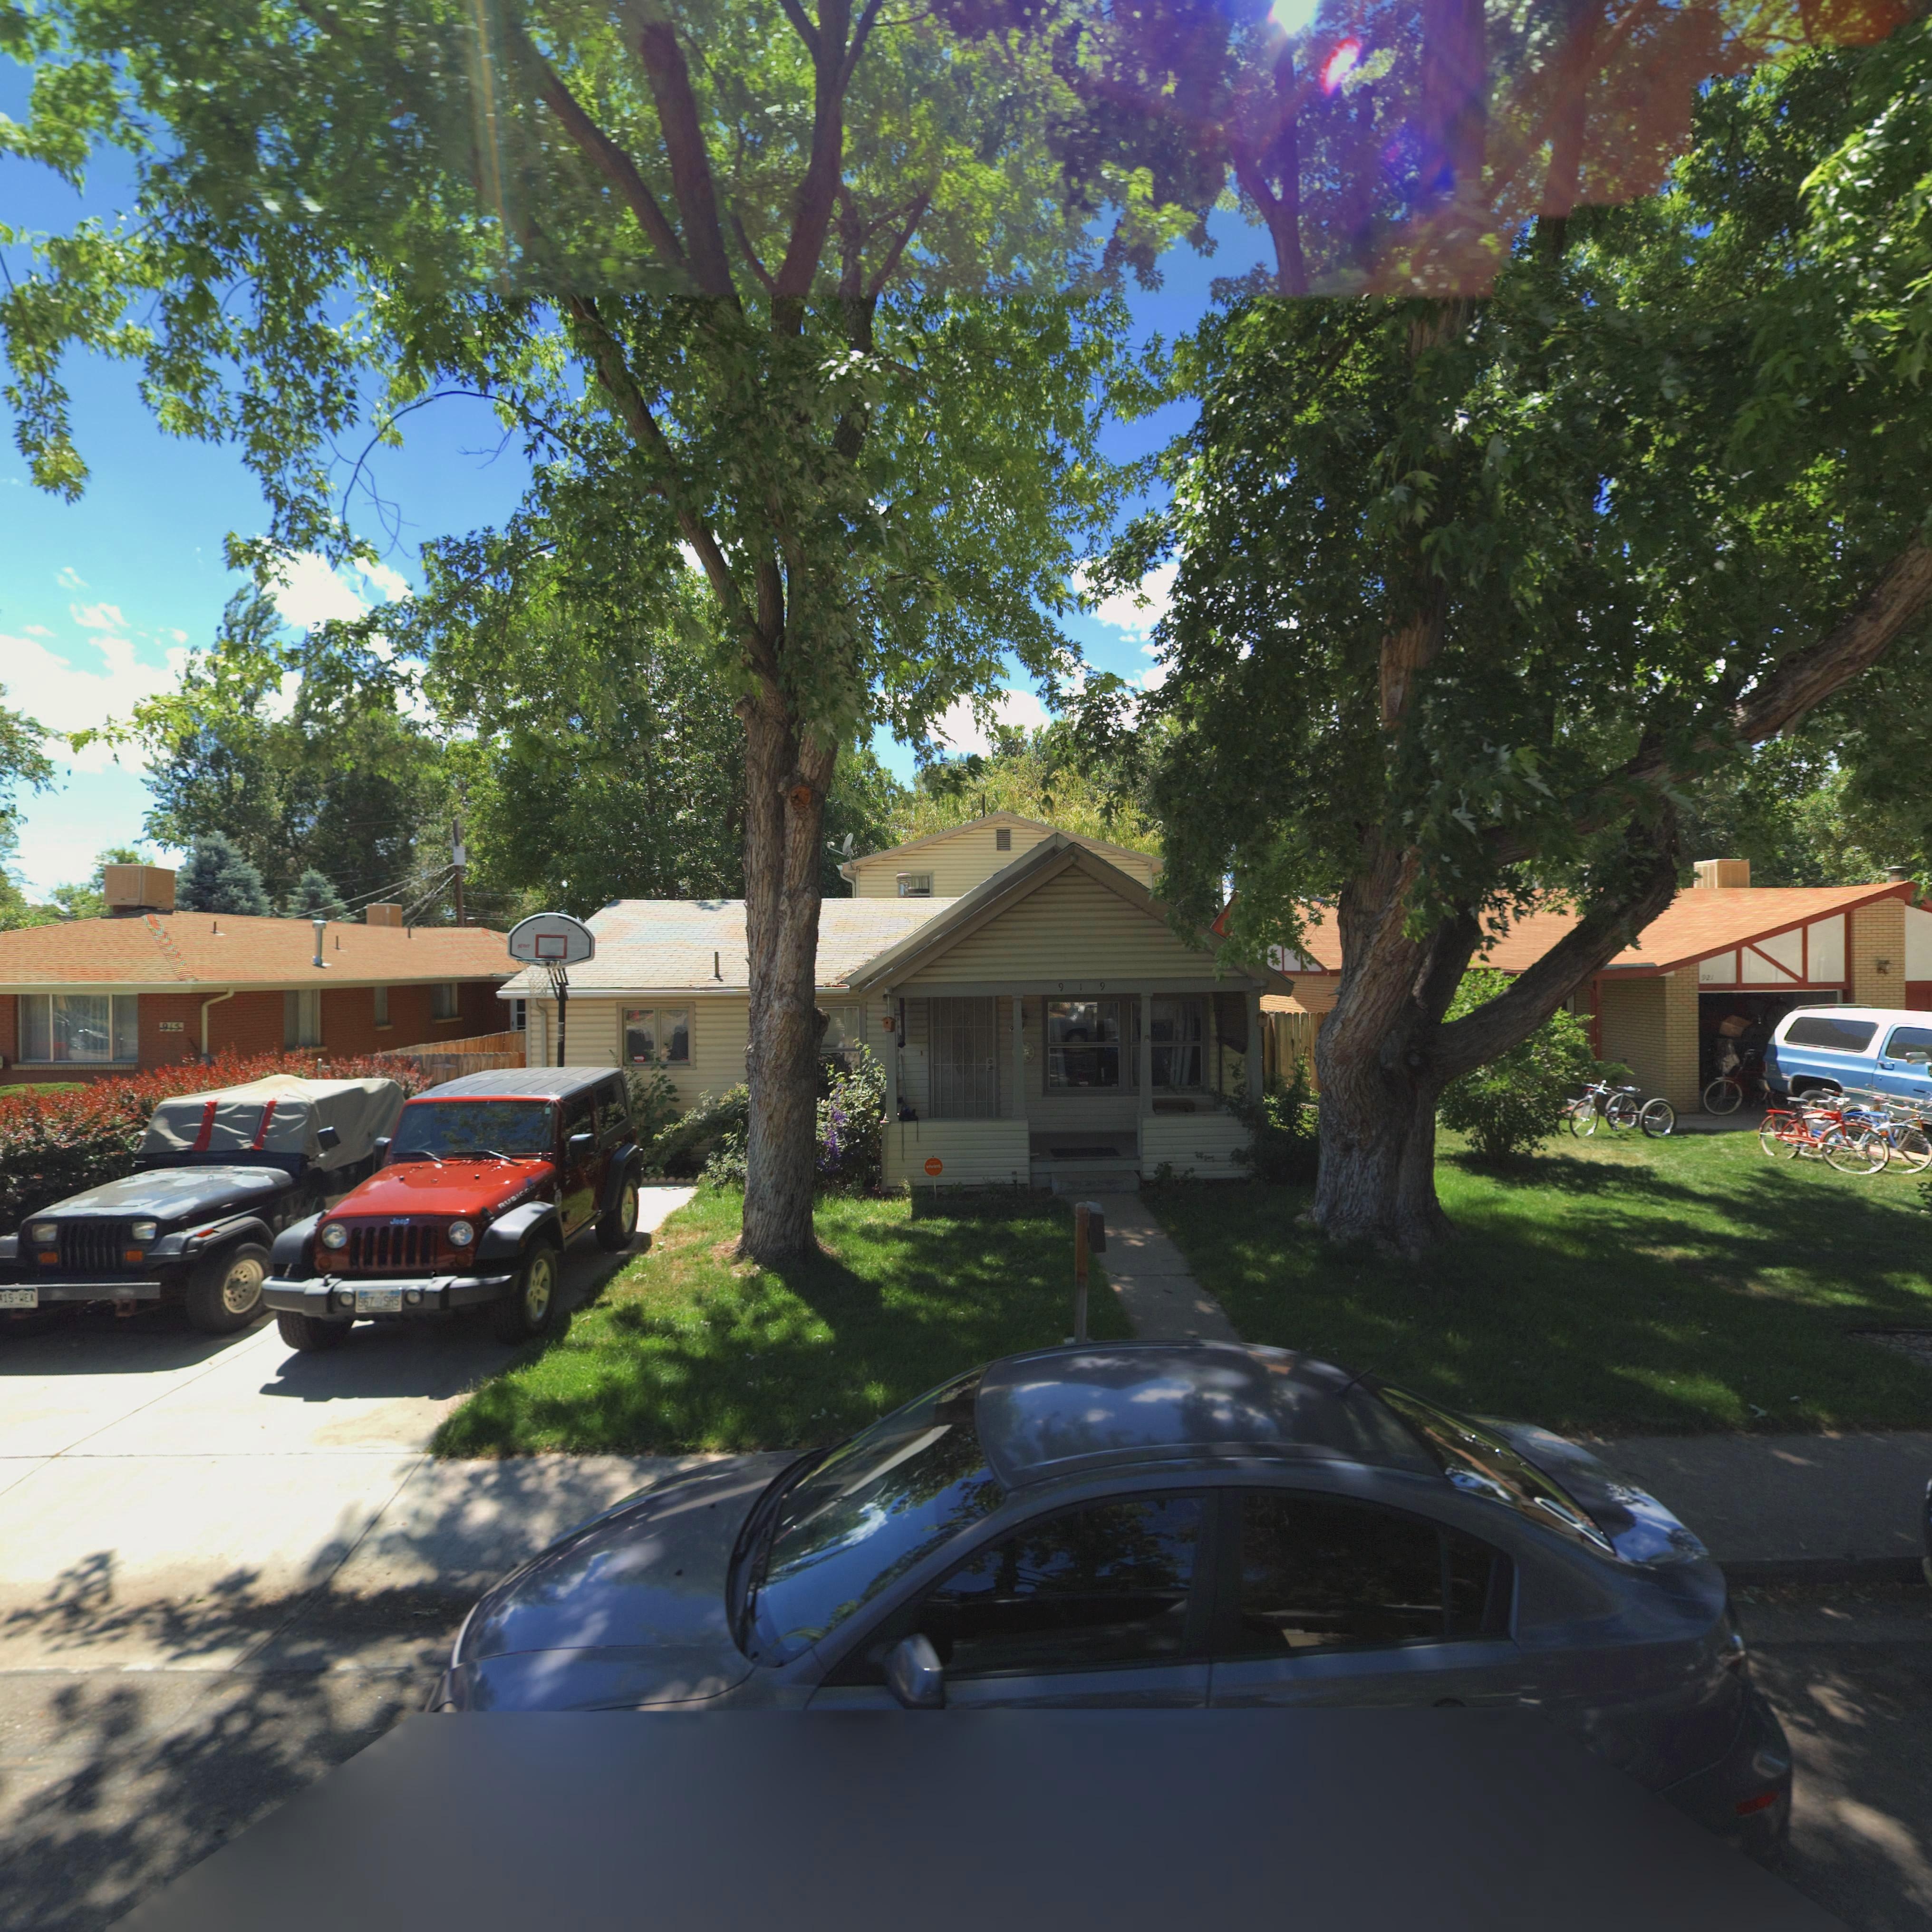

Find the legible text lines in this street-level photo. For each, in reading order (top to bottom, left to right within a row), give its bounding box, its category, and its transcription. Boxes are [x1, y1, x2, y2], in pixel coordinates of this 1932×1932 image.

[1701, 974, 1714, 981] StreetNumber: 921
[1058, 981, 1105, 992] StreetNumber: 919
[162, 1022, 181, 1031] StreetNumber: 915
[1010, 1025, 1014, 1031] StreetNumber: 9